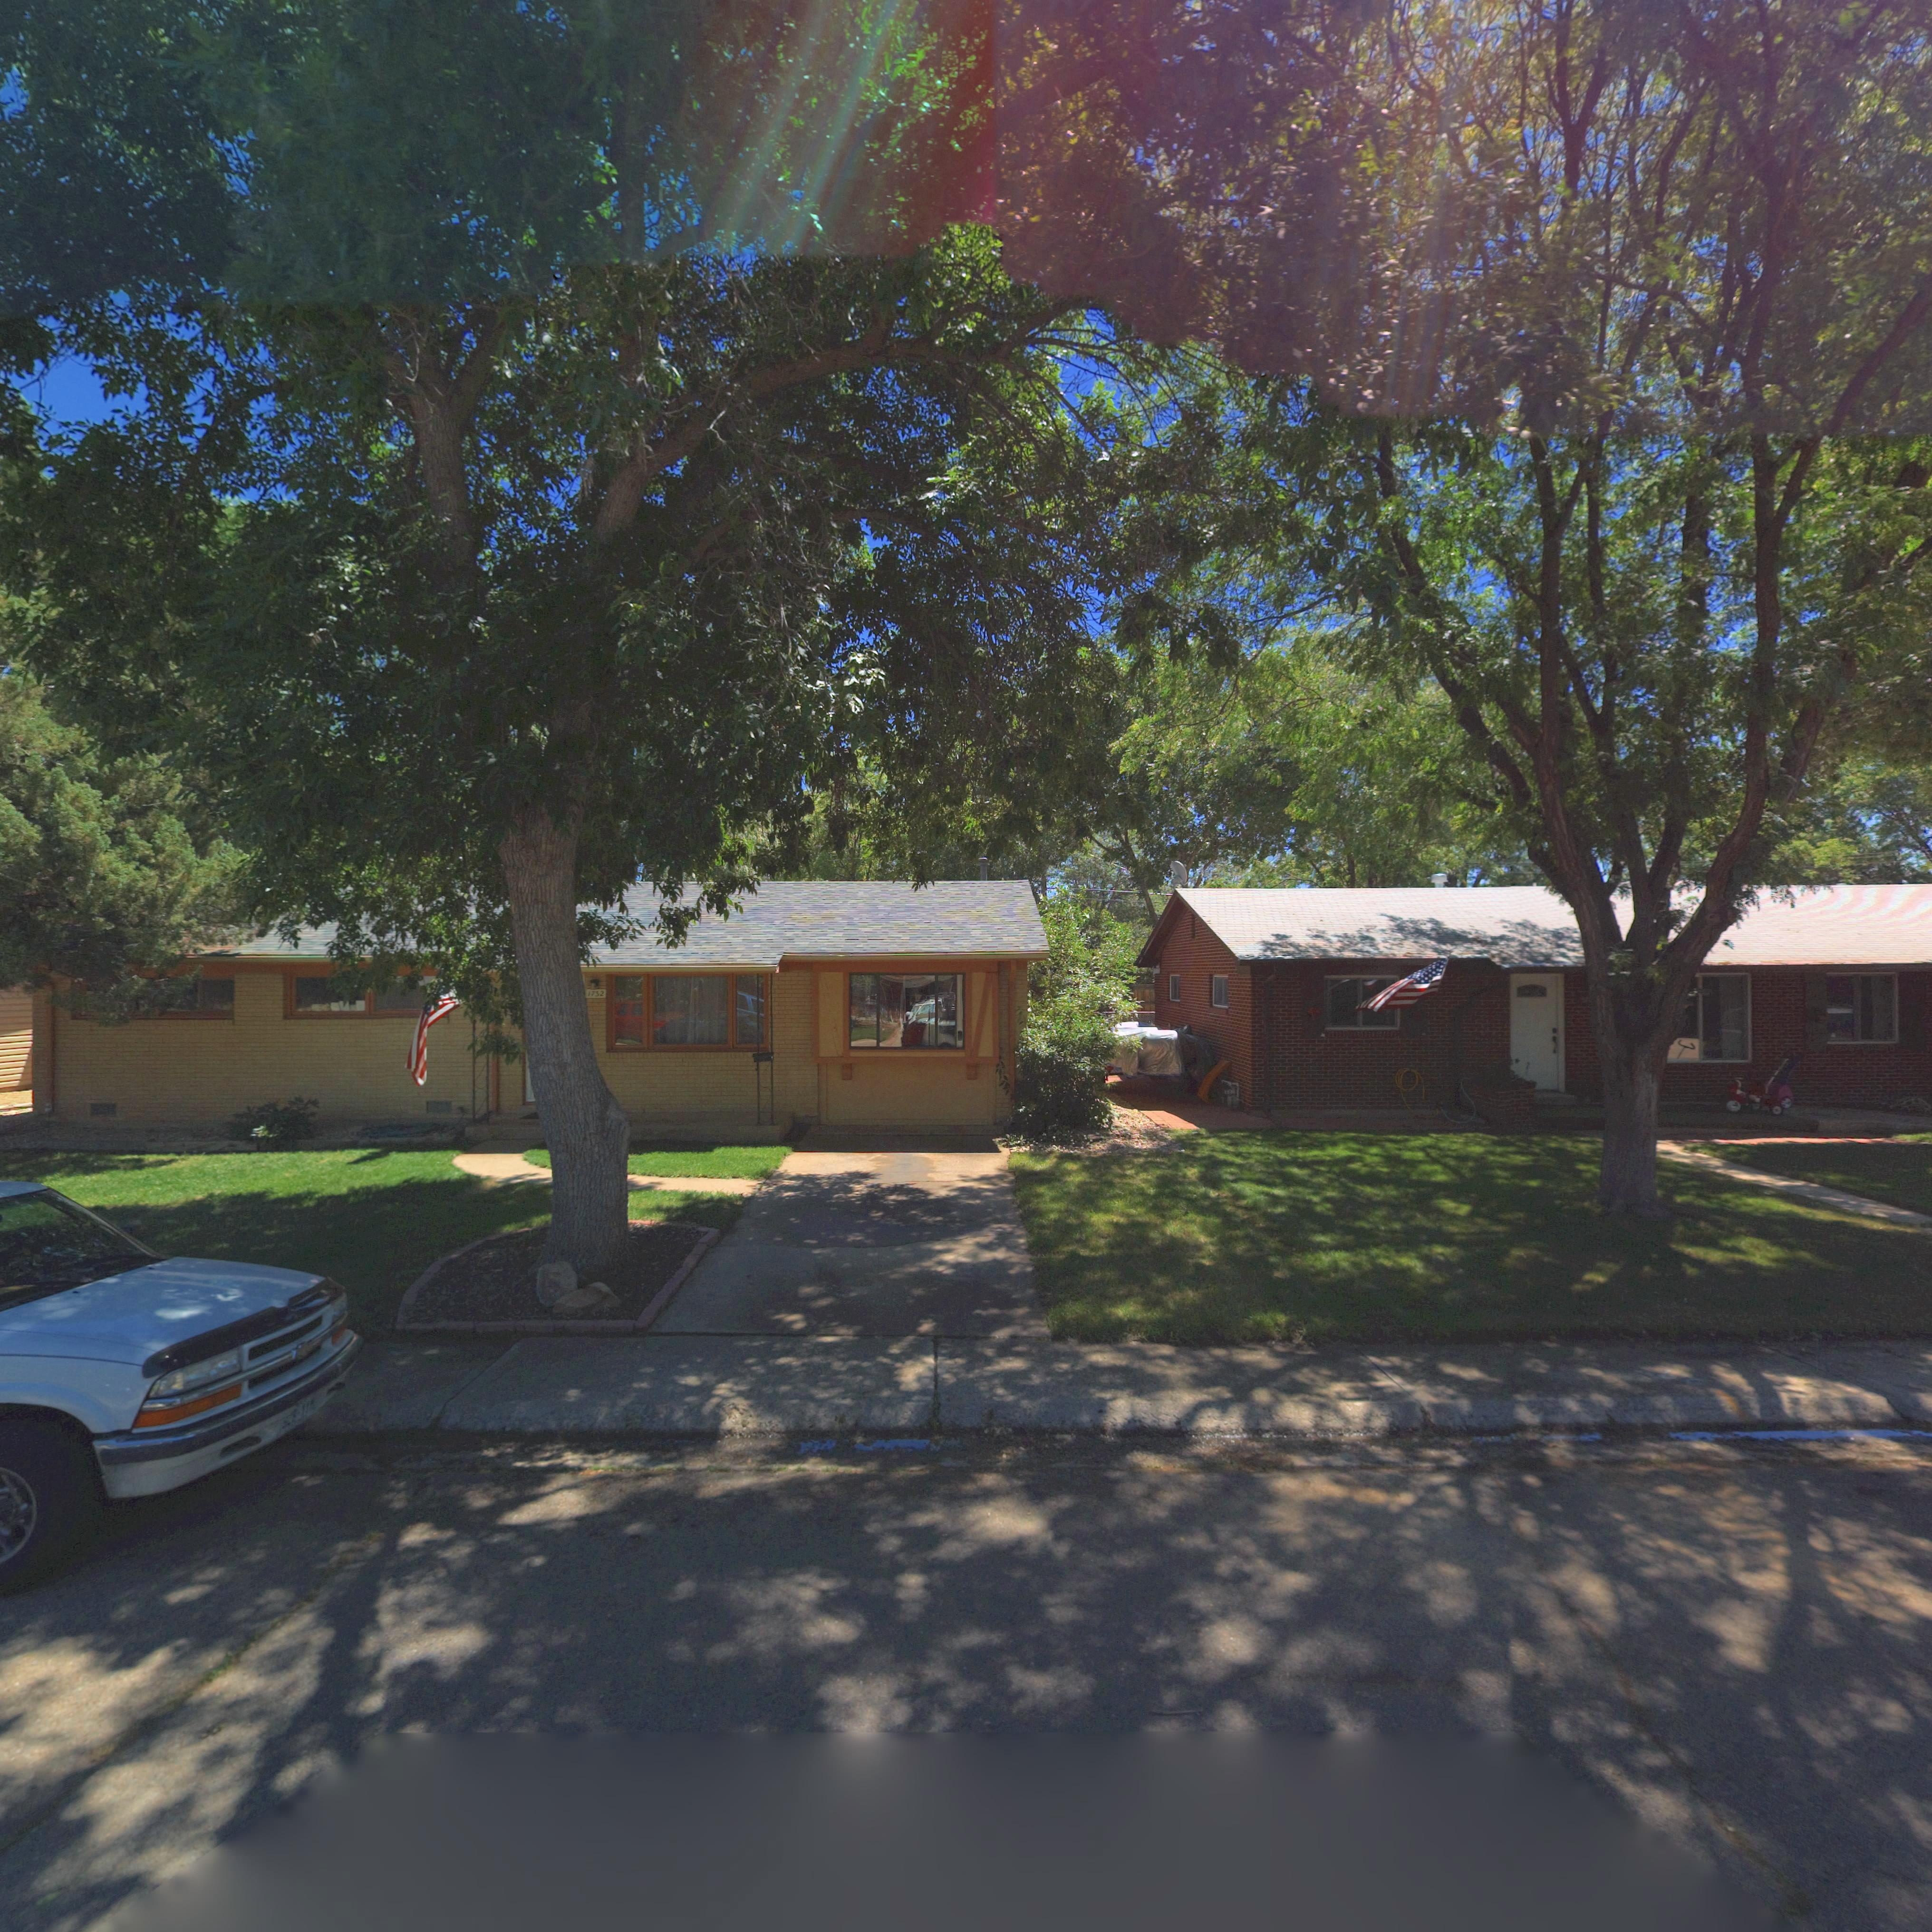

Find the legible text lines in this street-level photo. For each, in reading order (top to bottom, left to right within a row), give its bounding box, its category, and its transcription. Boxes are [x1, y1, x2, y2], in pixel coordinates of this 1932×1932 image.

[588, 990, 604, 996] StreetNumber: 1732